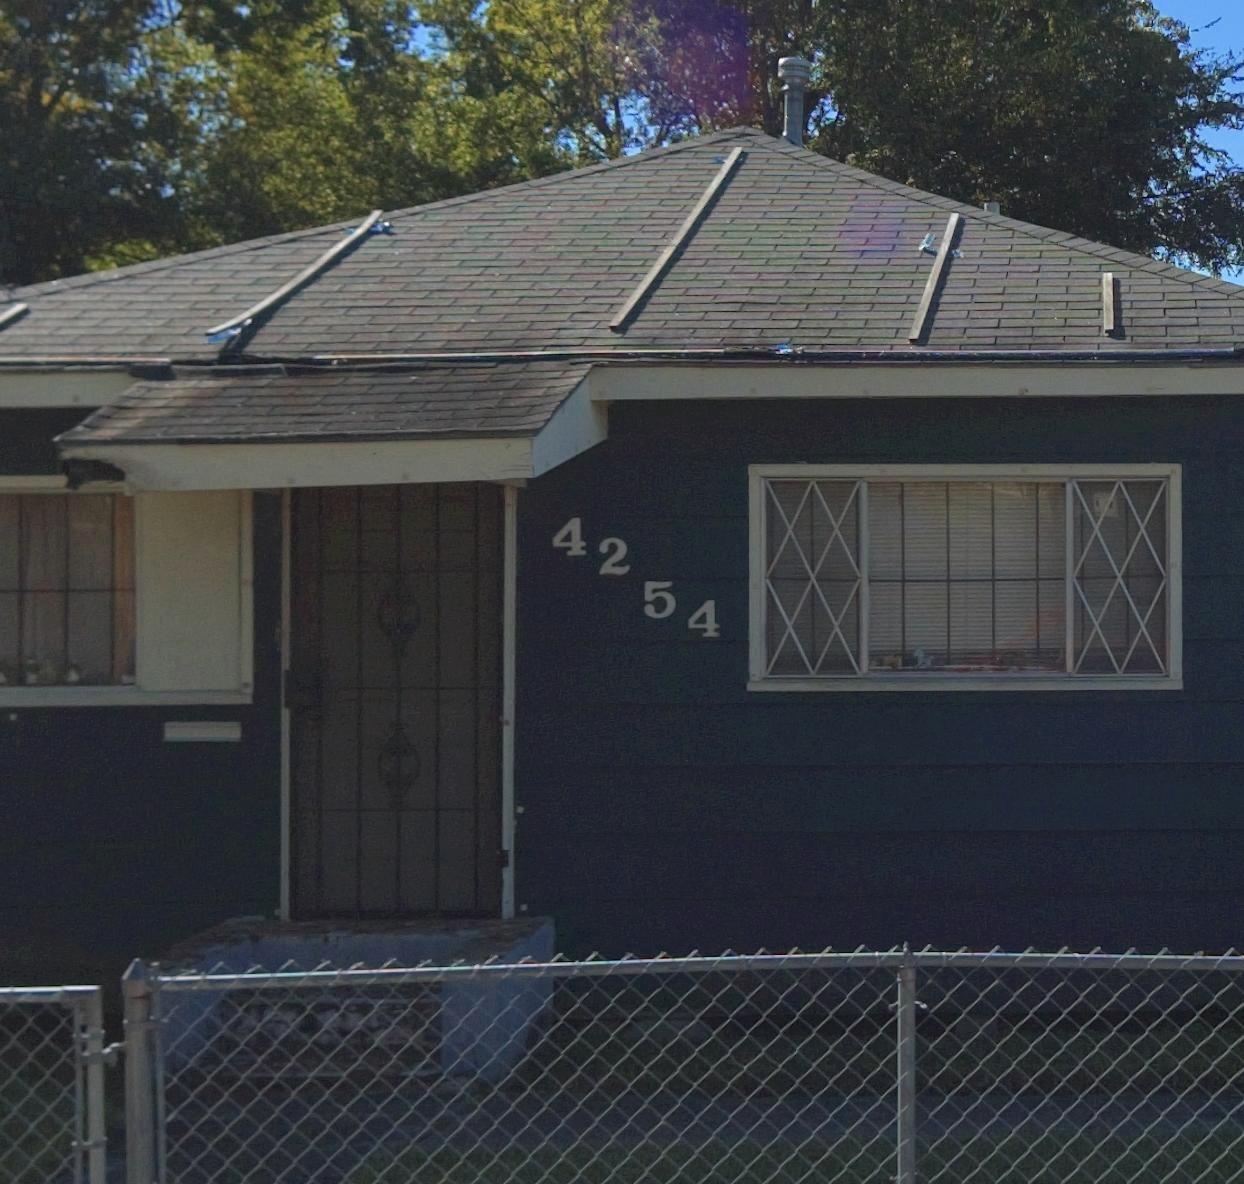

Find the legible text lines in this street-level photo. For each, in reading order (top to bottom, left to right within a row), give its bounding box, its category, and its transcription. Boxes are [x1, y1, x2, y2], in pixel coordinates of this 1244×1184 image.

[549, 514, 724, 642] StreetNumber: 4254